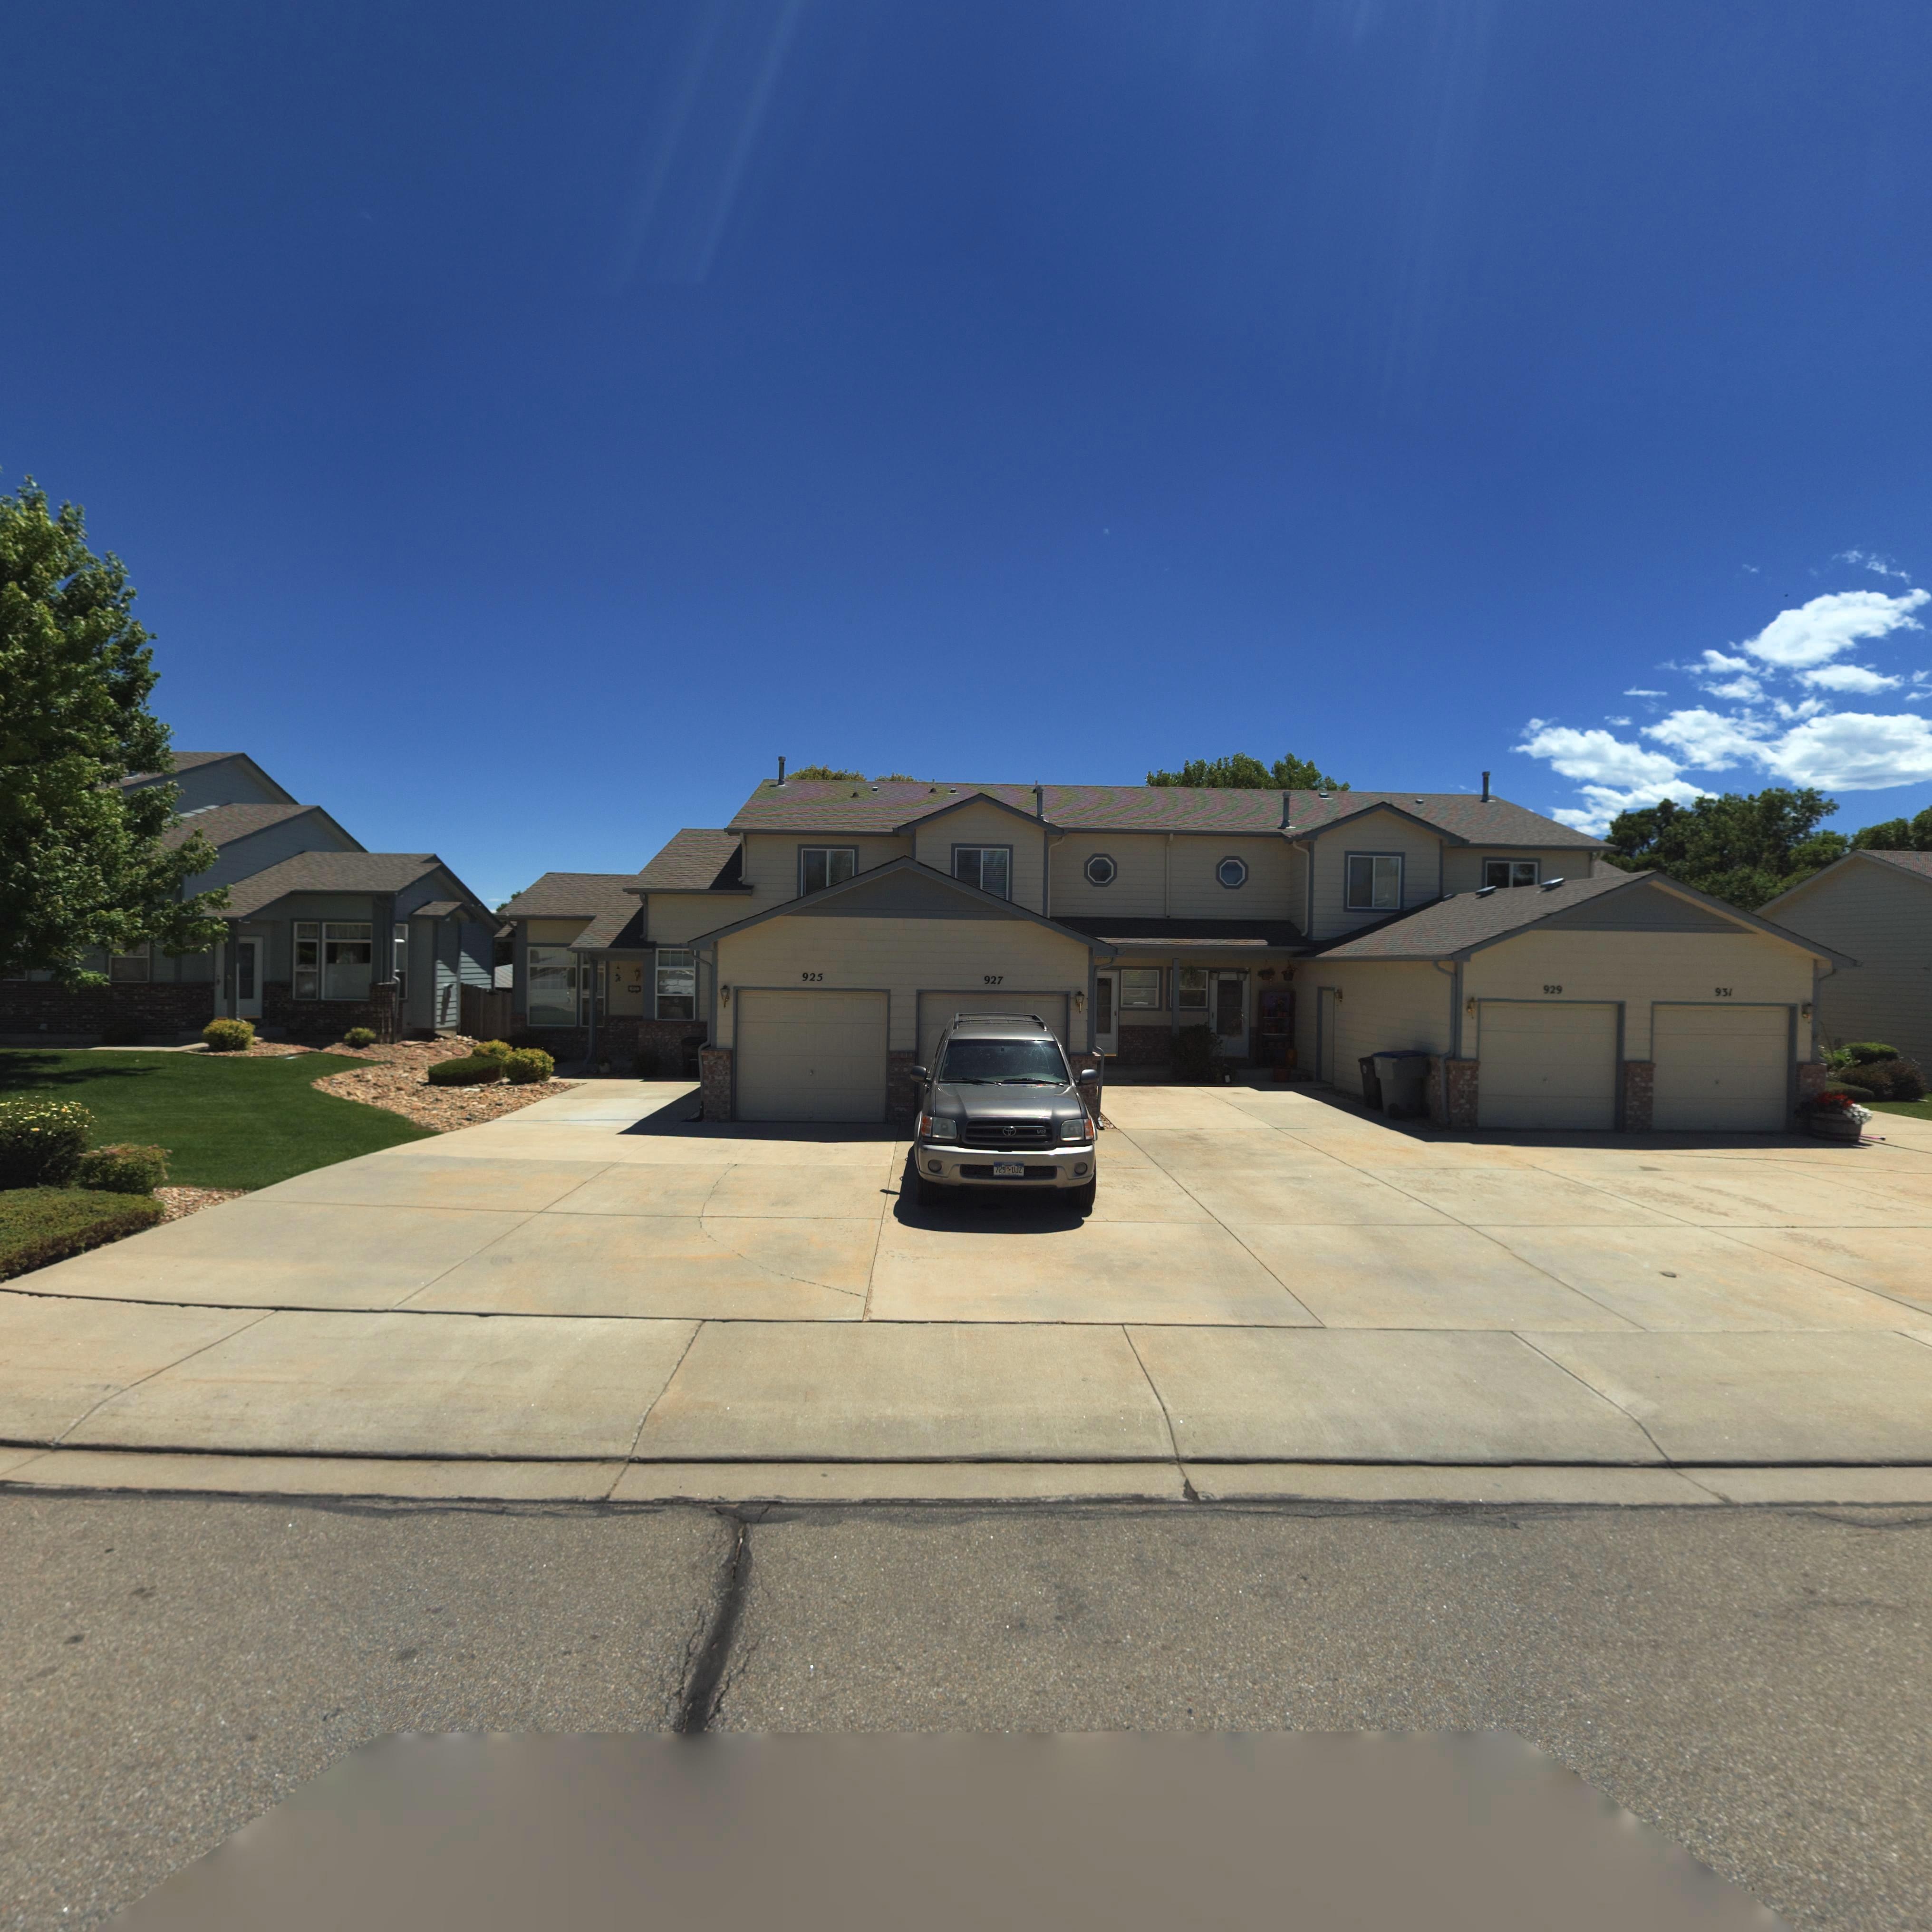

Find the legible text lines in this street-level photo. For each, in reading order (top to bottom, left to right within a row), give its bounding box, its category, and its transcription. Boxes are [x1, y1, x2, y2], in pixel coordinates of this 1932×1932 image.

[802, 972, 823, 982] StreetNumber: 925
[984, 975, 1004, 985] StreetNumber: 927
[1543, 984, 1563, 995] StreetNumber: 929
[1714, 986, 1733, 997] StreetNumber: 931